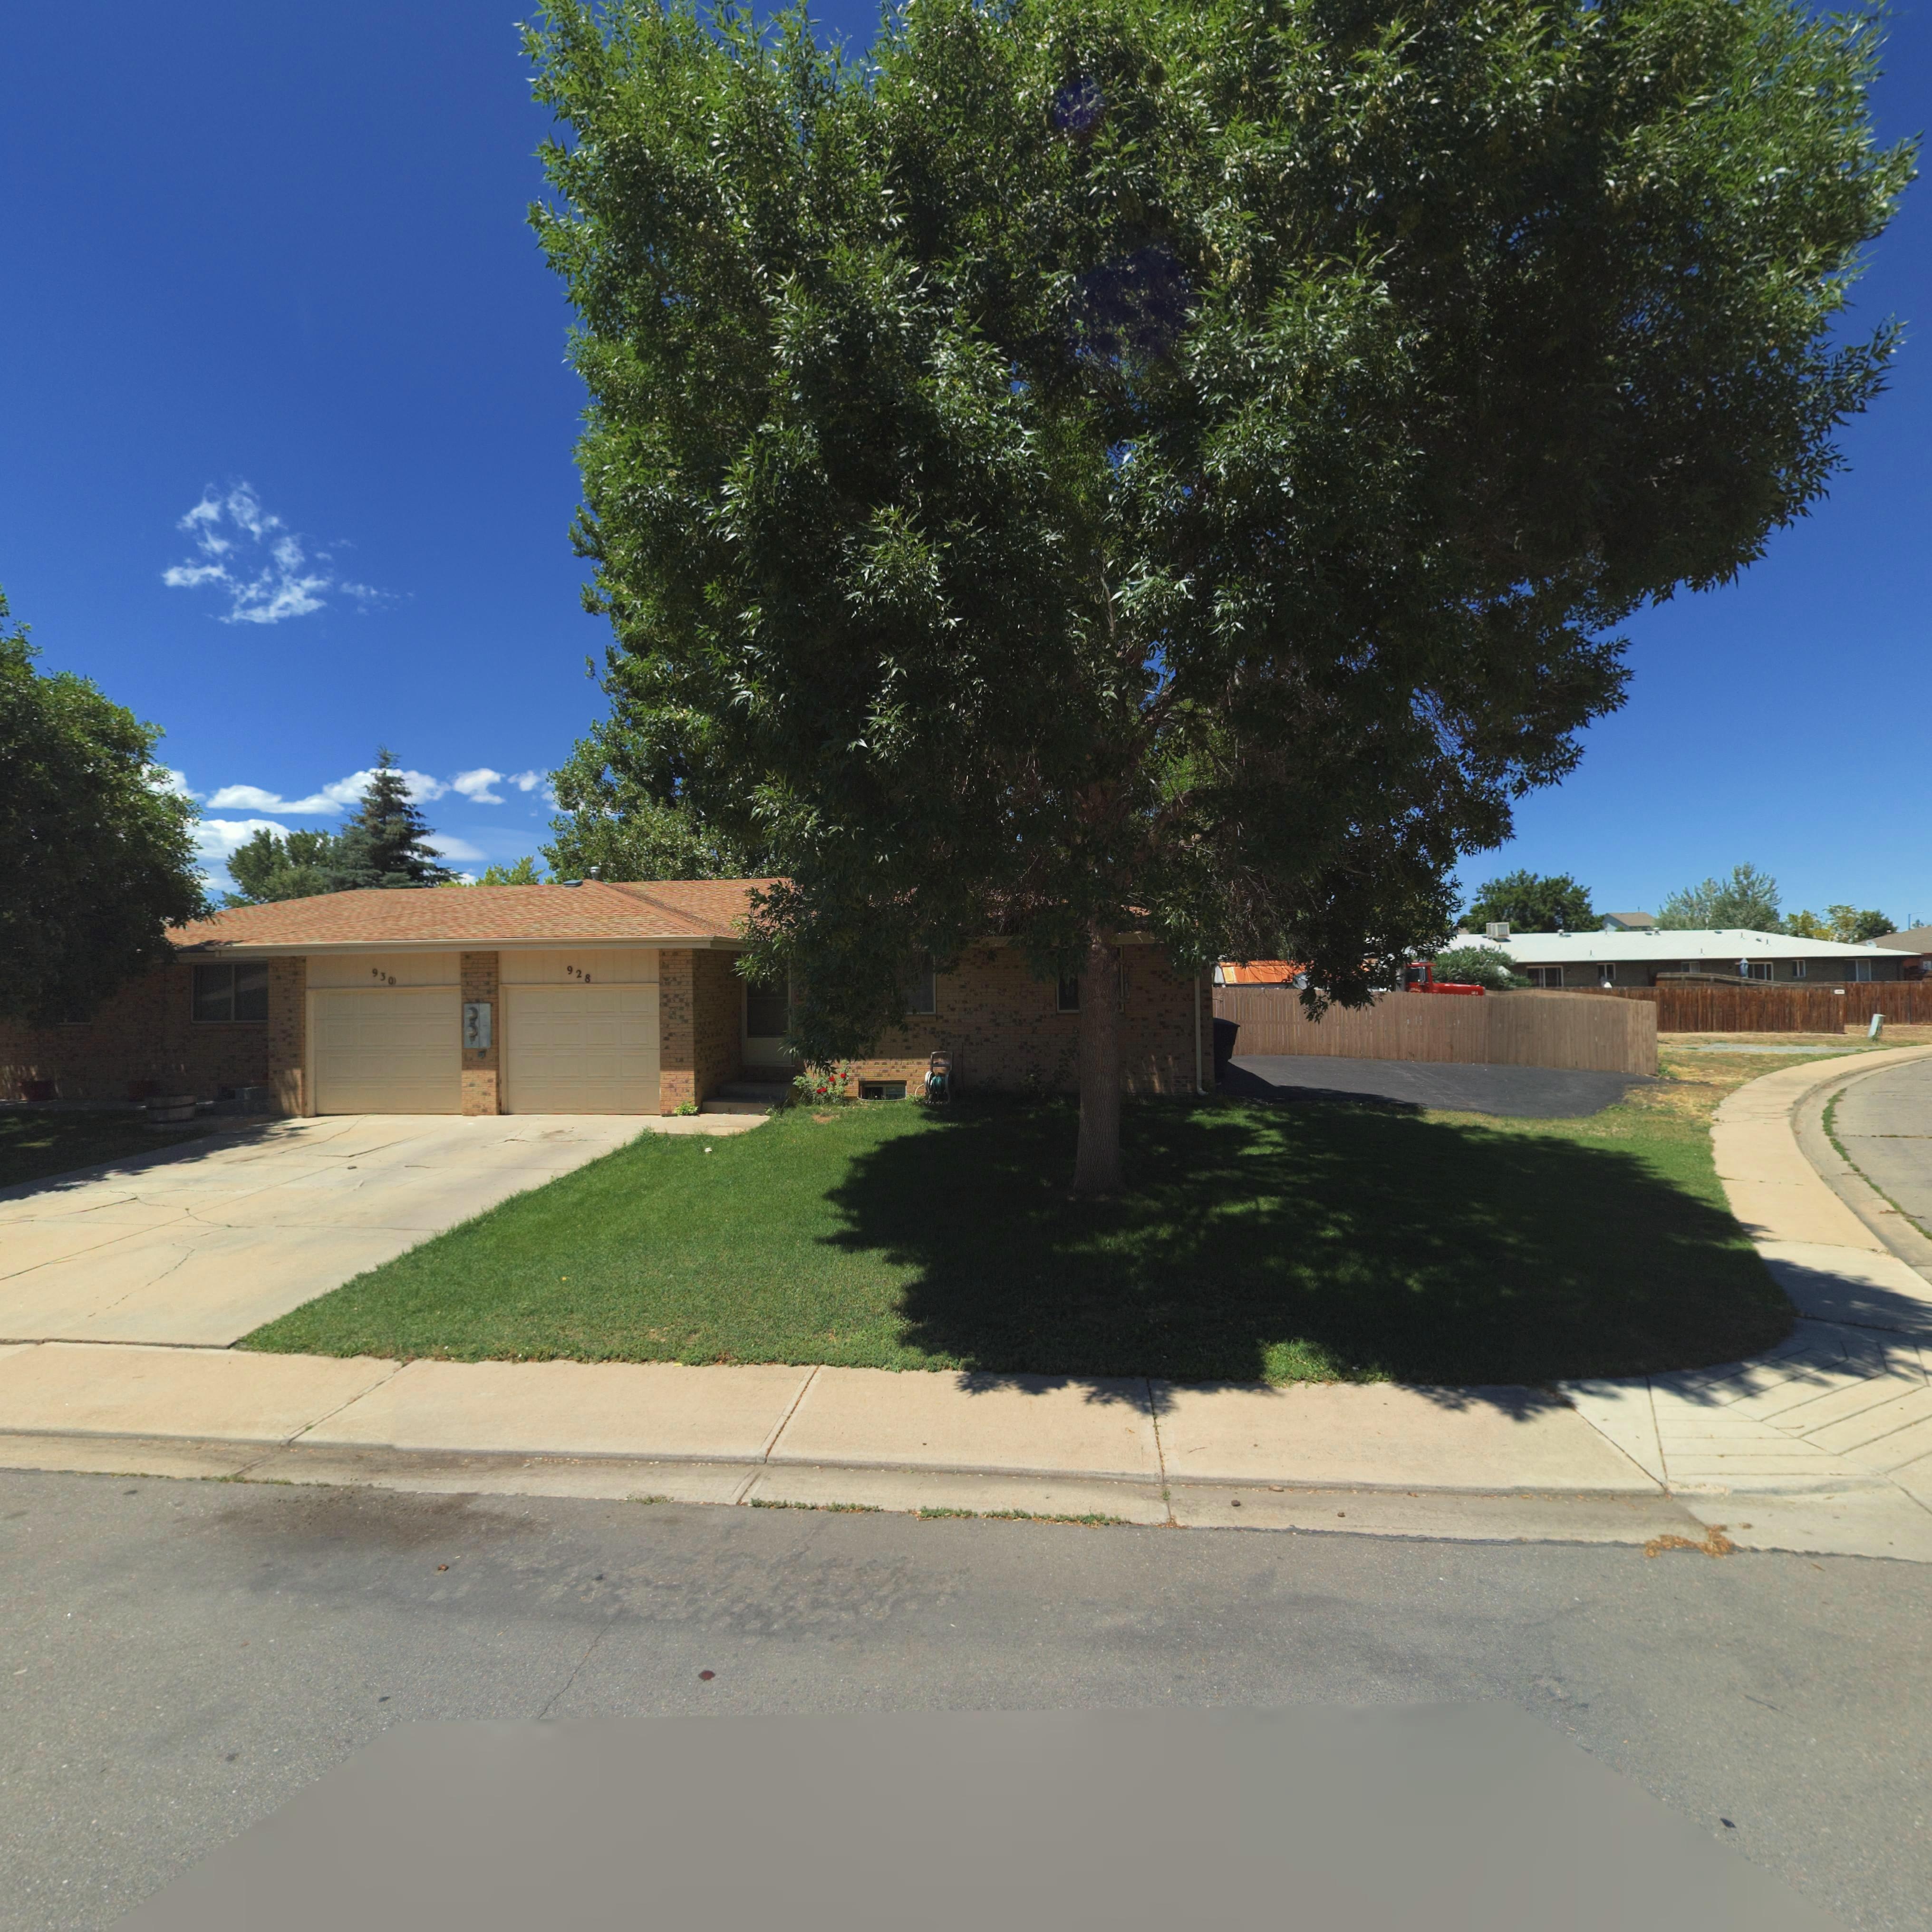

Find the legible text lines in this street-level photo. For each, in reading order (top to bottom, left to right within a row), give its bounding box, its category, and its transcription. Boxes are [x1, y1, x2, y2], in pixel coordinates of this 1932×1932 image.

[371, 968, 394, 985] StreetNumber: 930
[566, 965, 591, 983] StreetNumber: 928